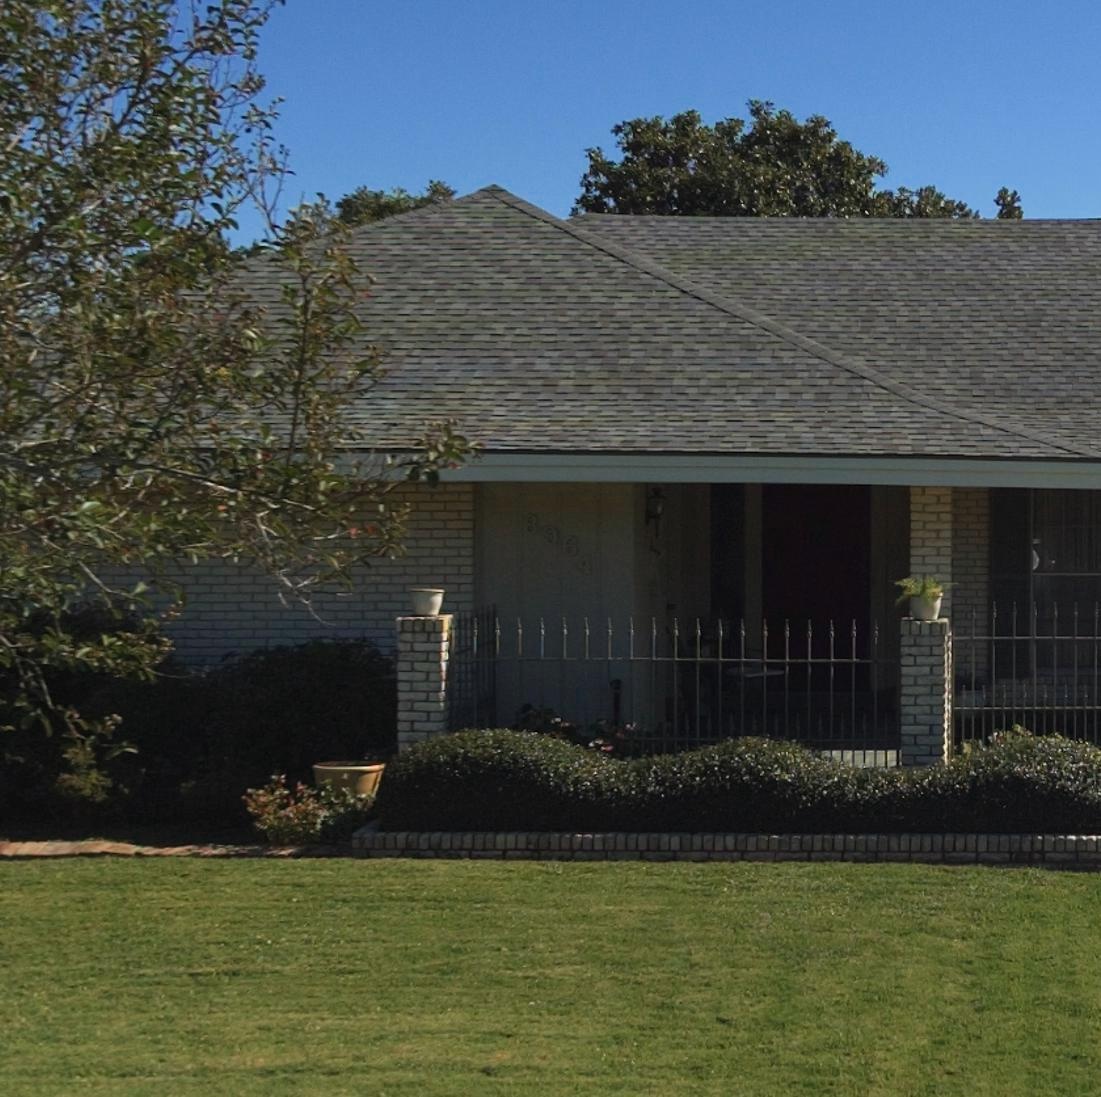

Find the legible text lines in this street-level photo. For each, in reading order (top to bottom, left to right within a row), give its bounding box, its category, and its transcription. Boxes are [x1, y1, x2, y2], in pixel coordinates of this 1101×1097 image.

[521, 512, 596, 576] StreetNumber: 8964